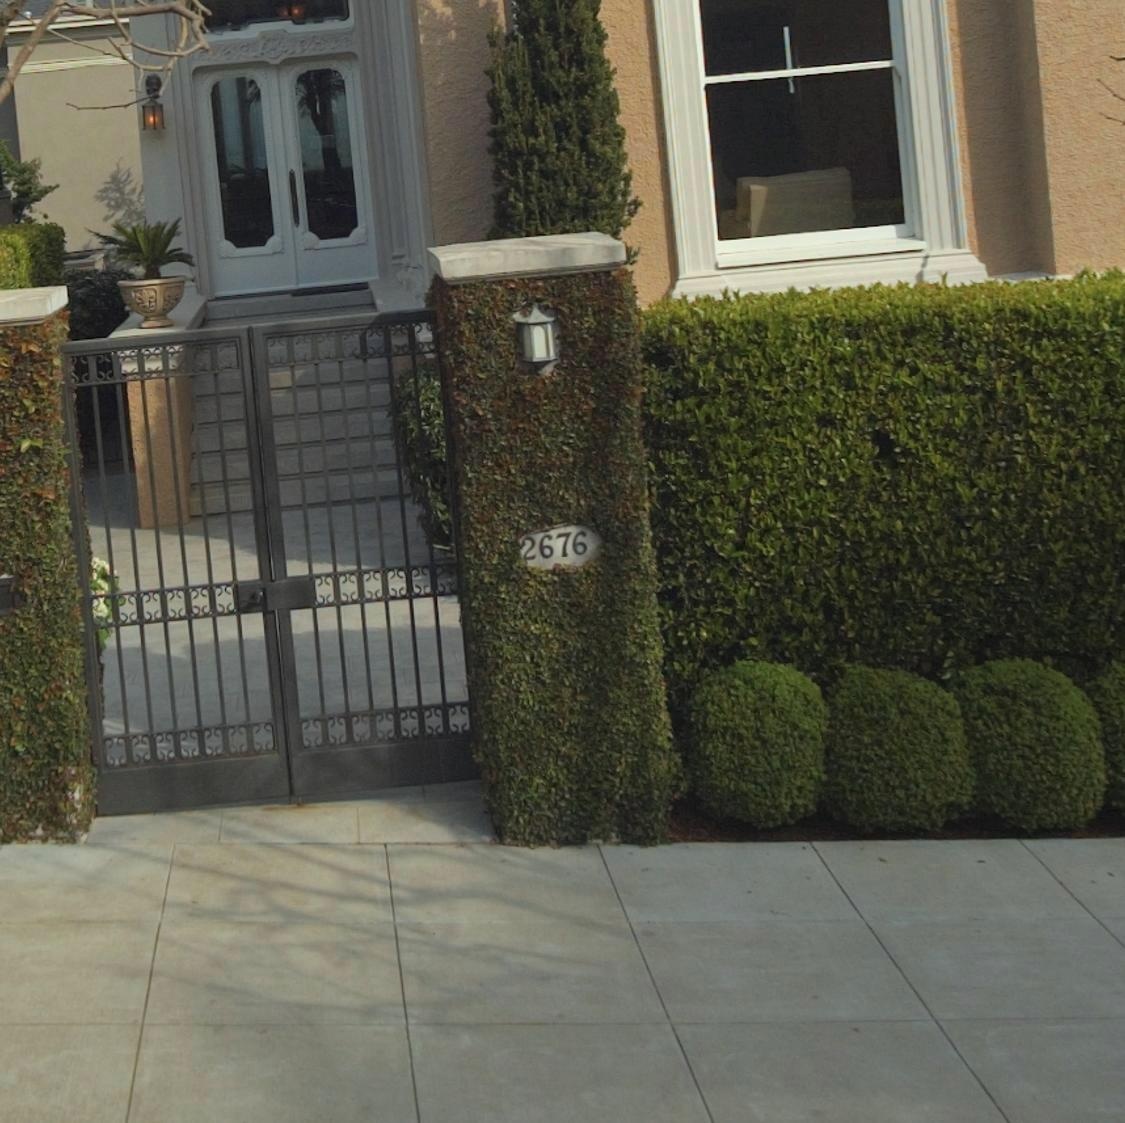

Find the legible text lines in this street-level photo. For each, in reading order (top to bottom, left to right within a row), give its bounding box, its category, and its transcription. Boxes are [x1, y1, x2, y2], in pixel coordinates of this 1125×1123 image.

[517, 527, 591, 564] StreetNumber: 2676